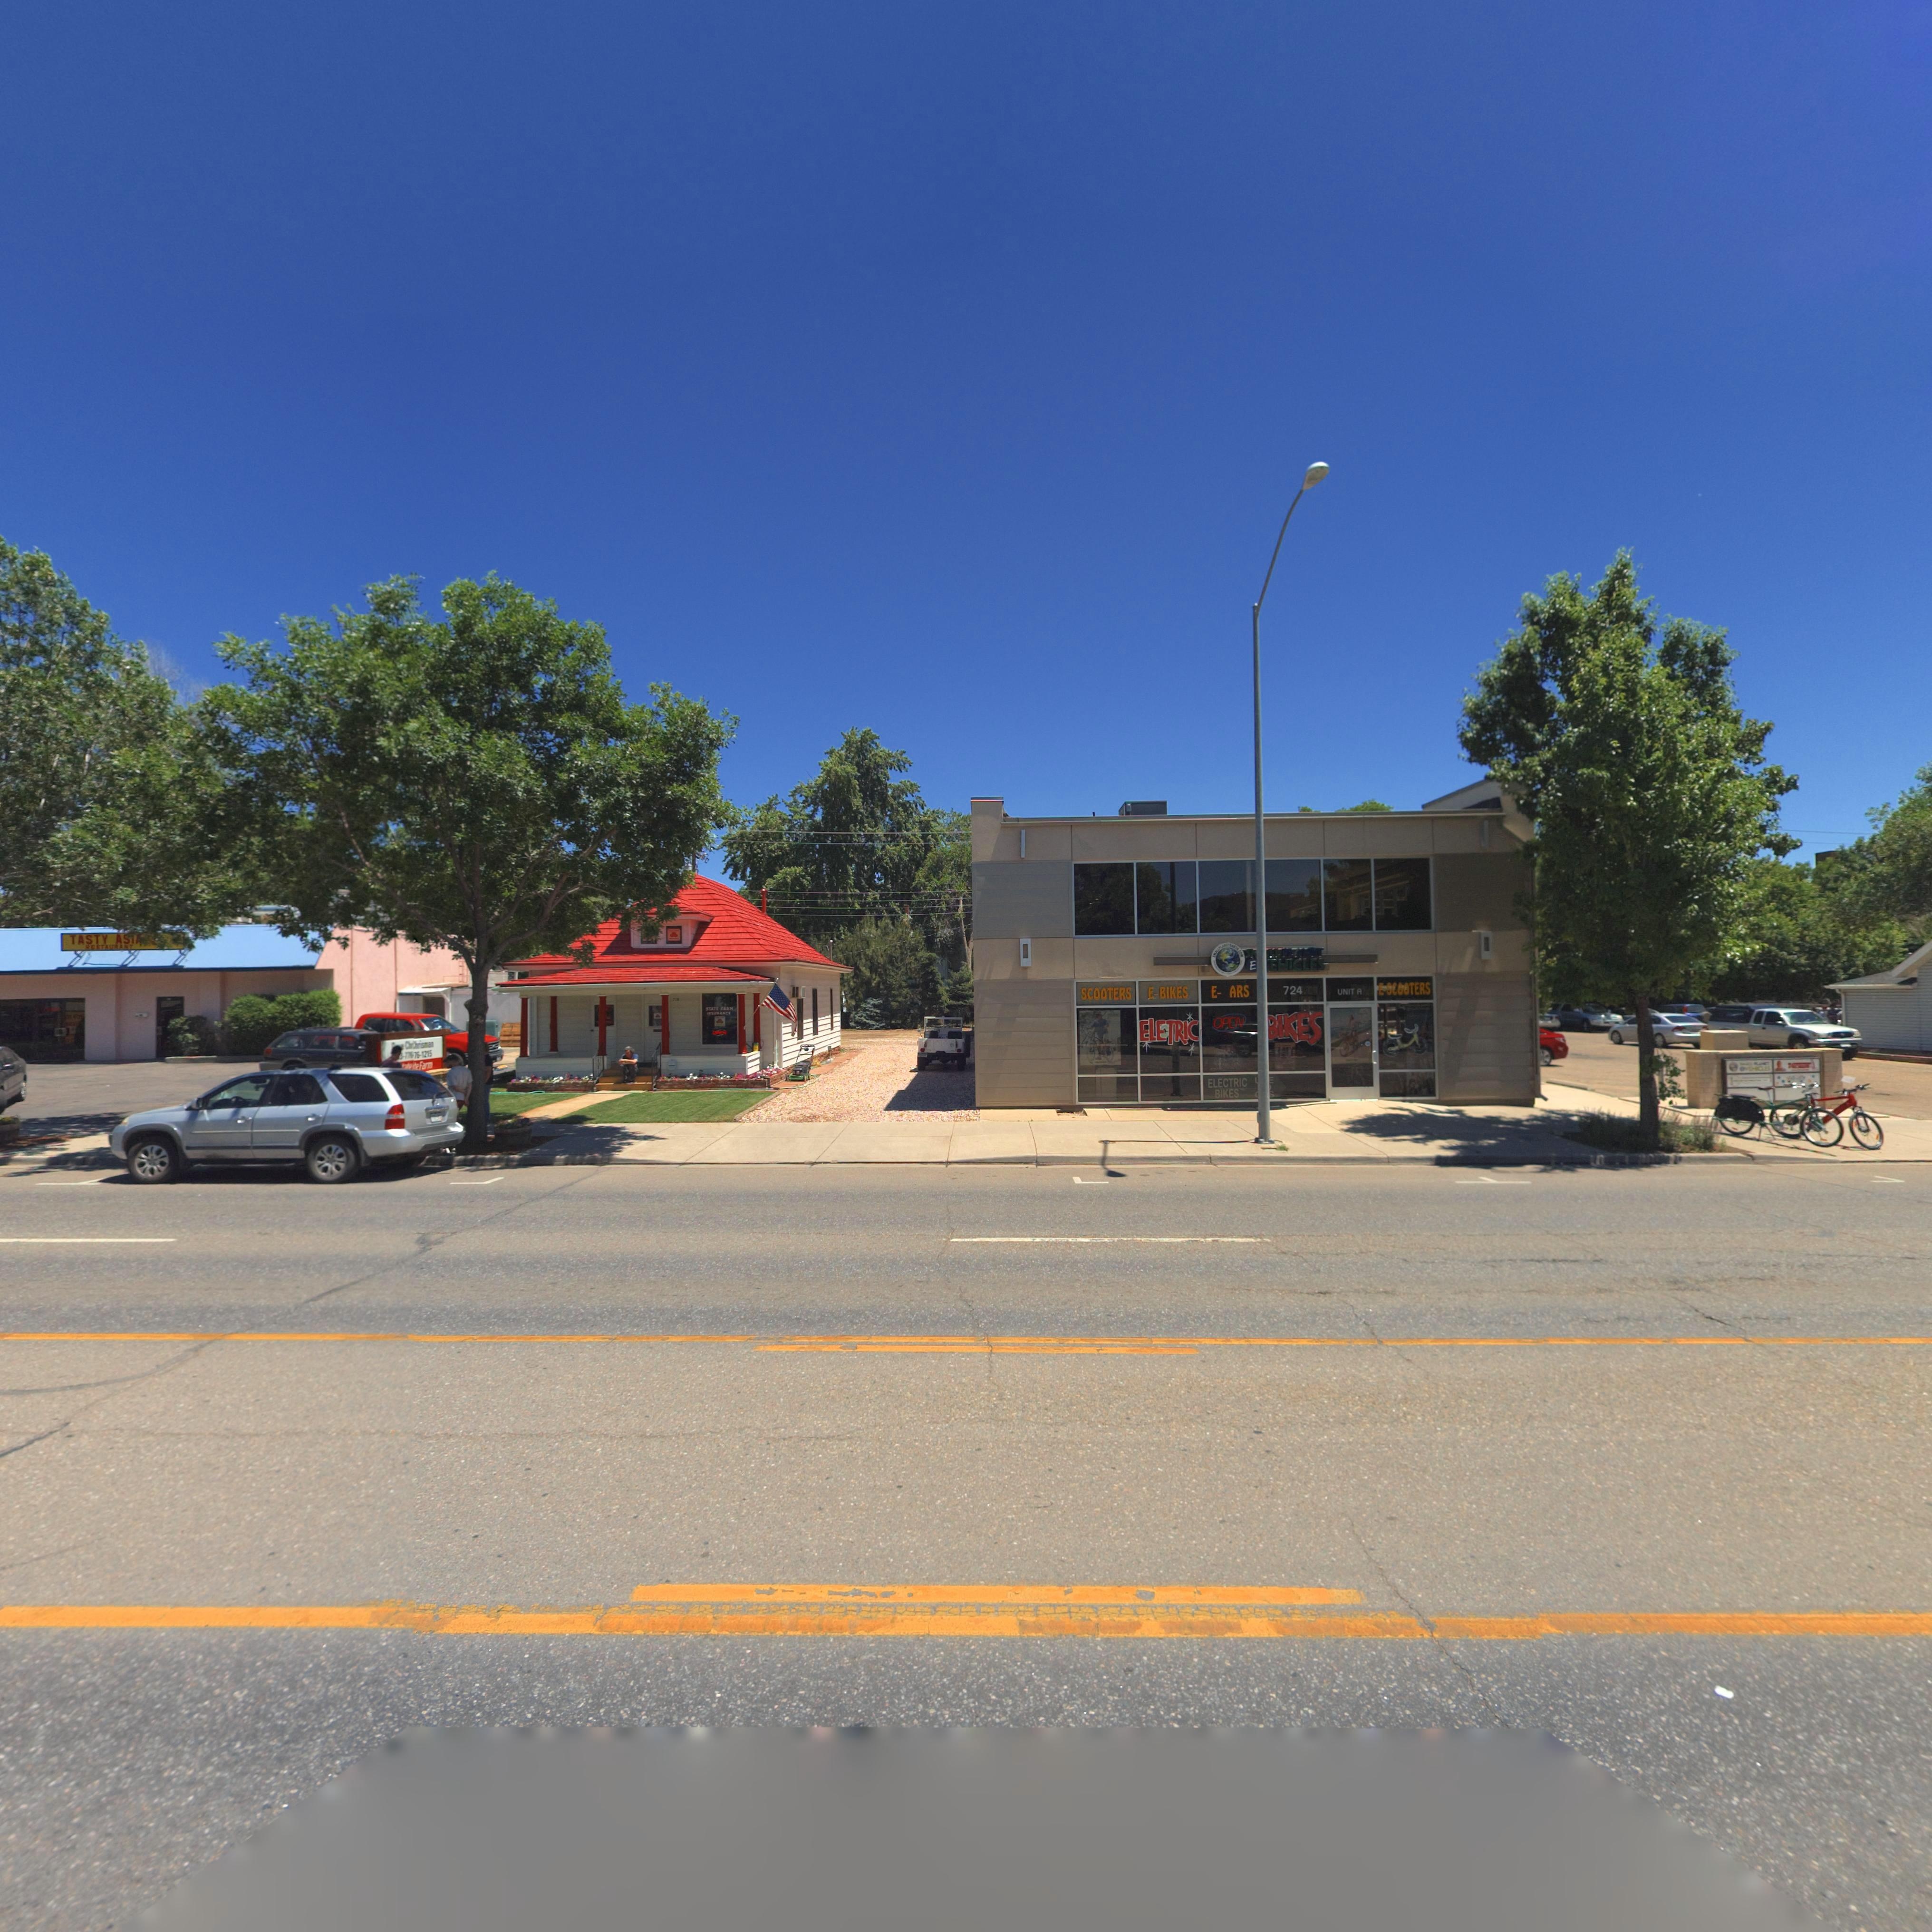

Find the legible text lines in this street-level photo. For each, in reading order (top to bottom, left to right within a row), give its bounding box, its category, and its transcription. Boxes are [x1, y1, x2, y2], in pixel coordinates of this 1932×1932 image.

[69, 933, 143, 945] BusinessName: TASTY ASIA
[1245, 947, 1324, 958] BusinessName: S**LLPLAN*T
[1249, 957, 1325, 972] BusinessName: E*EHICLES
[1283, 986, 1302, 995] StreetNumber: 724
[1337, 988, 1362, 995] SecondaryUnitDesignator: UNIT A
[673, 998, 679, 1001] StreetNumber: 718
[705, 1006, 733, 1011] BusinessName: STATE FARM
[402, 1061, 433, 1071] BusinessName: ****teFarm
[1739, 1062, 1770, 1065] BusinessName: ***** PL**E*
[1741, 1066, 1770, 1071] BusinessName: EVEHICLES